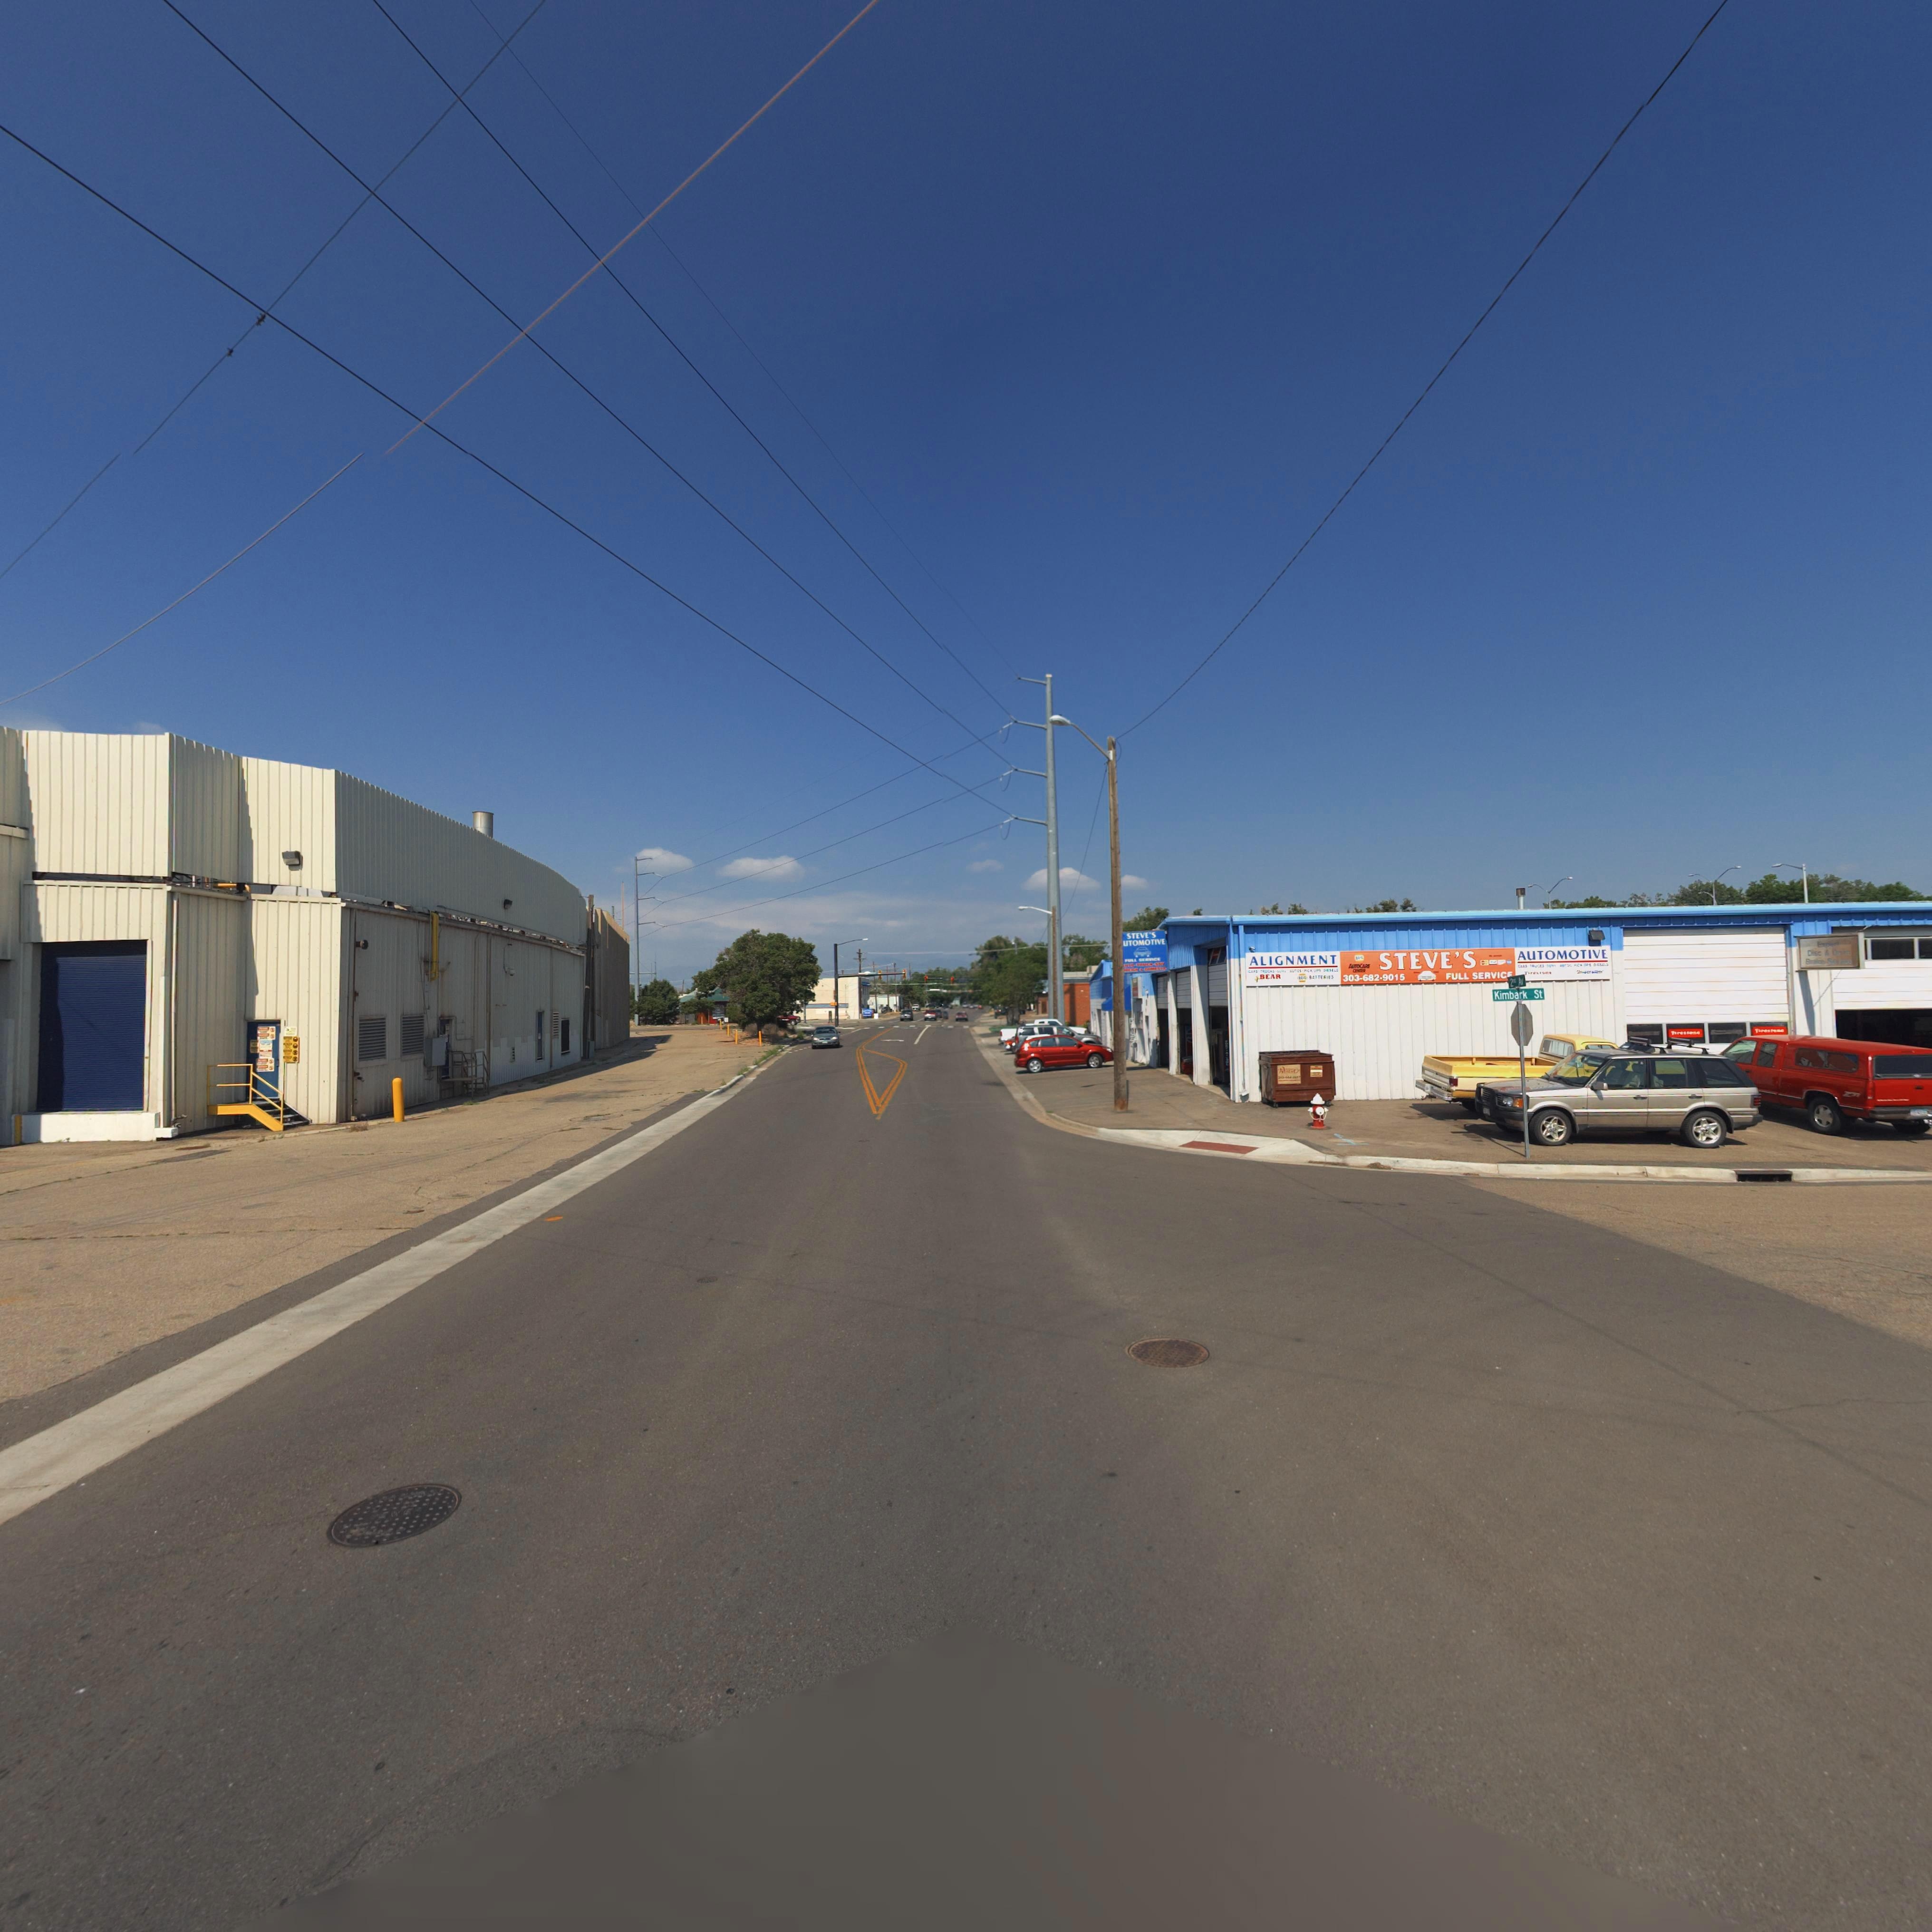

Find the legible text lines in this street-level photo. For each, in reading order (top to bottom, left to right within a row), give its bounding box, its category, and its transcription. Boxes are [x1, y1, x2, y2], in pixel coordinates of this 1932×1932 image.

[1125, 931, 1157, 939] BusinessName: STEVE'S
[1123, 937, 1166, 947] BusinessName: UTOMOTIVE
[1378, 950, 1477, 971] BusinessName: STEVE'S
[1517, 949, 1608, 961] BusinessName: AUTOMOTIVE
[1509, 976, 1524, 987] StreetName: 2** Av
[1494, 989, 1543, 1000] StreetName: Kimbark St